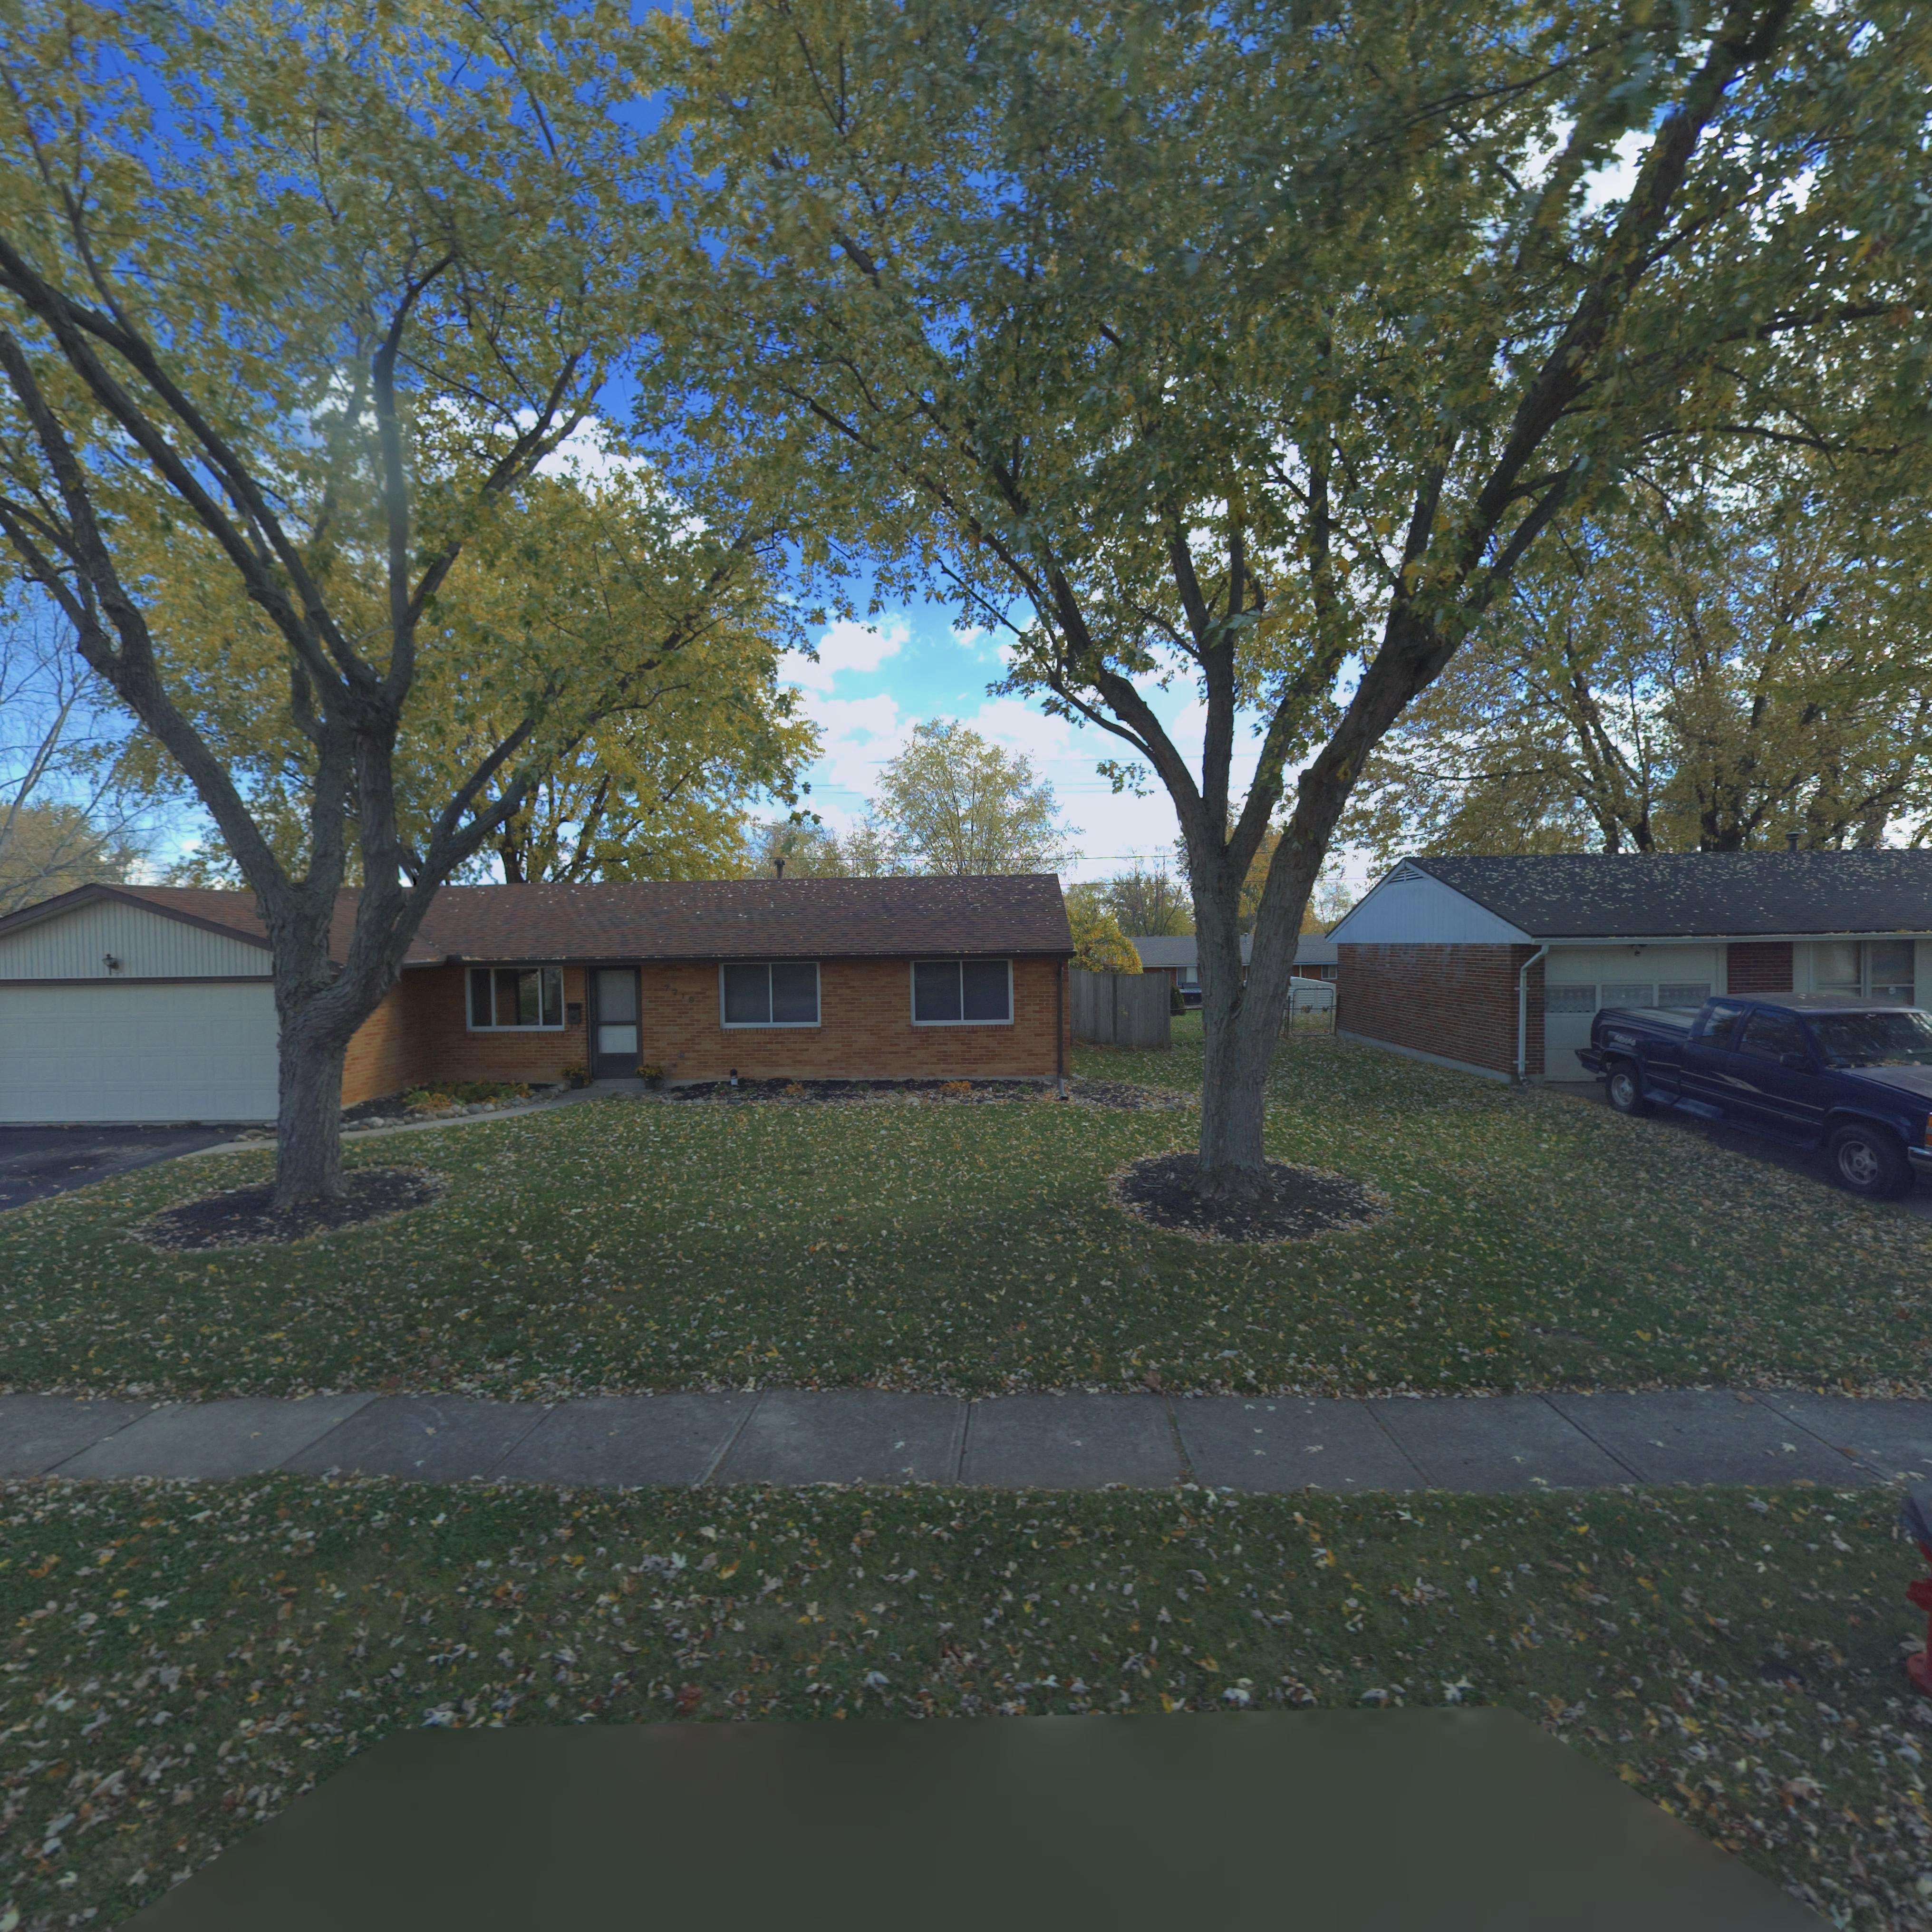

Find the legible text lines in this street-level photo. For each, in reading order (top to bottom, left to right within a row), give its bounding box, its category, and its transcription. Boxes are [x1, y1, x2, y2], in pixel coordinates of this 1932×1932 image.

[663, 984, 695, 1004] StreetNumber: 7719